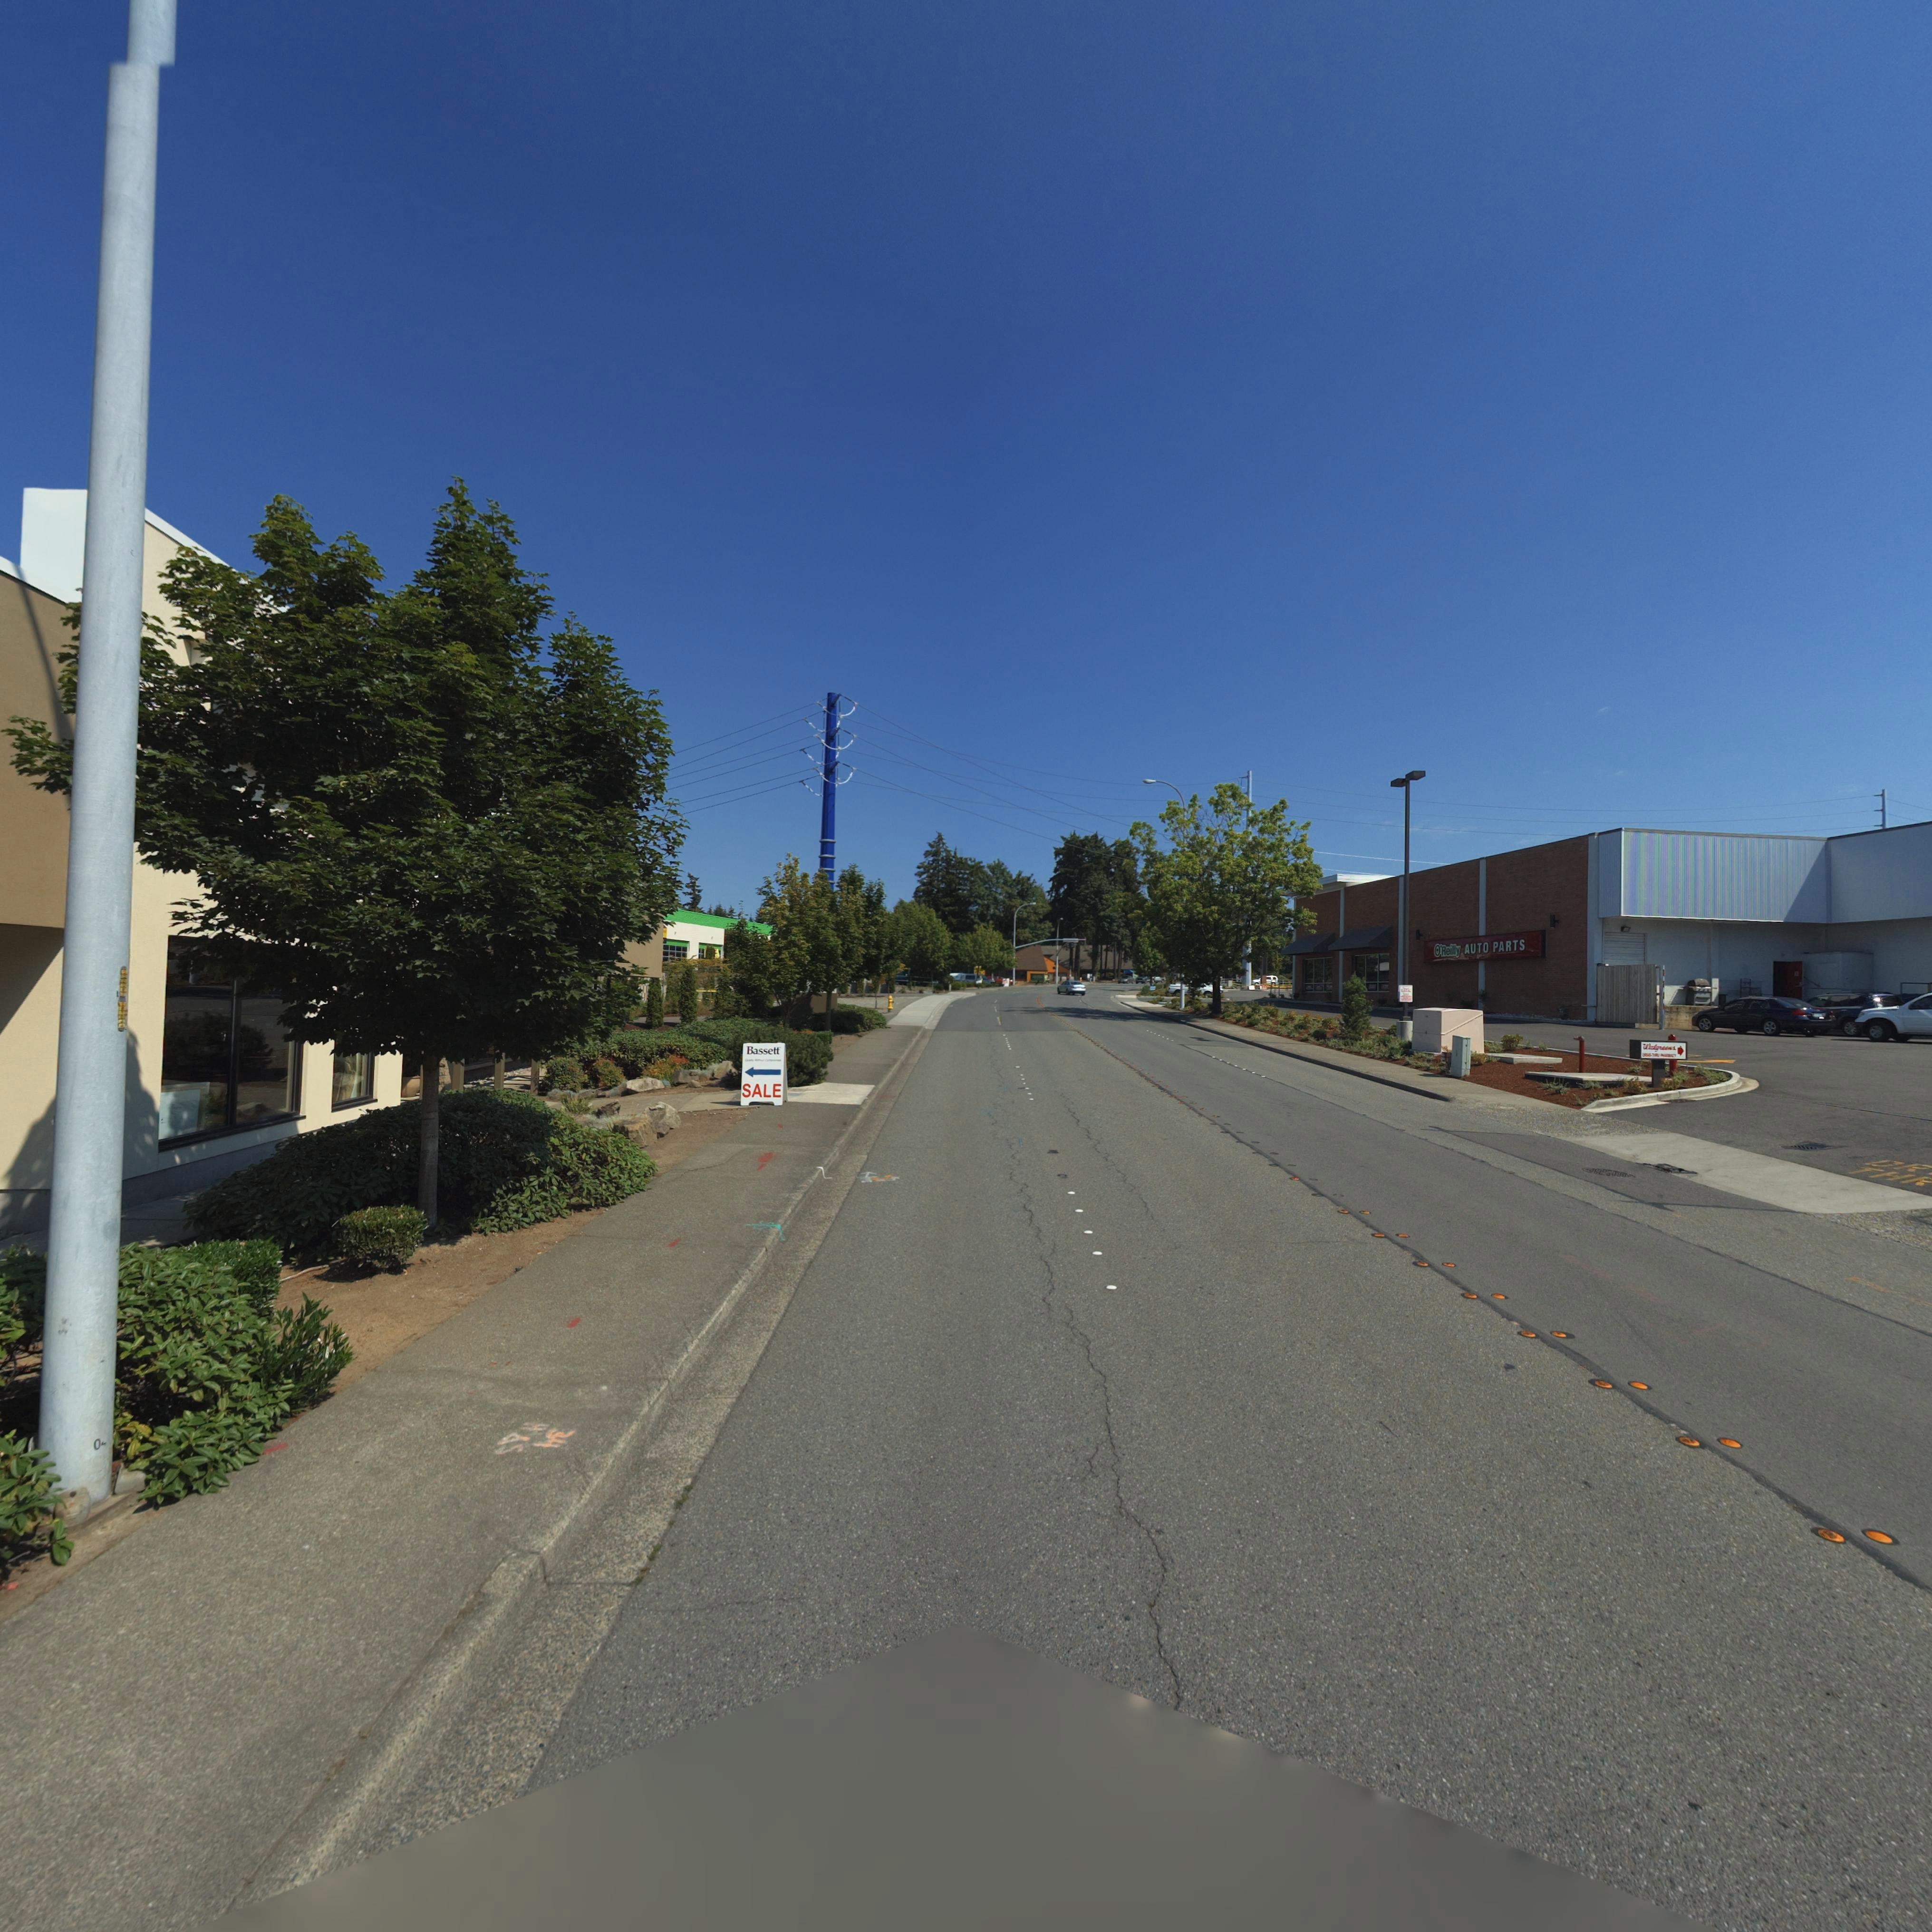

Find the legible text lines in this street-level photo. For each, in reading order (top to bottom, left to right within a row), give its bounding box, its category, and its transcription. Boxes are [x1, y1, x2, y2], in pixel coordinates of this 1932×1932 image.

[1433, 937, 1526, 959] BusinessName: O'Reilly AUTO PARTS
[747, 1046, 779, 1056] BusinessName: Bassett
[1642, 1043, 1677, 1052] BusinessName: Walgreens